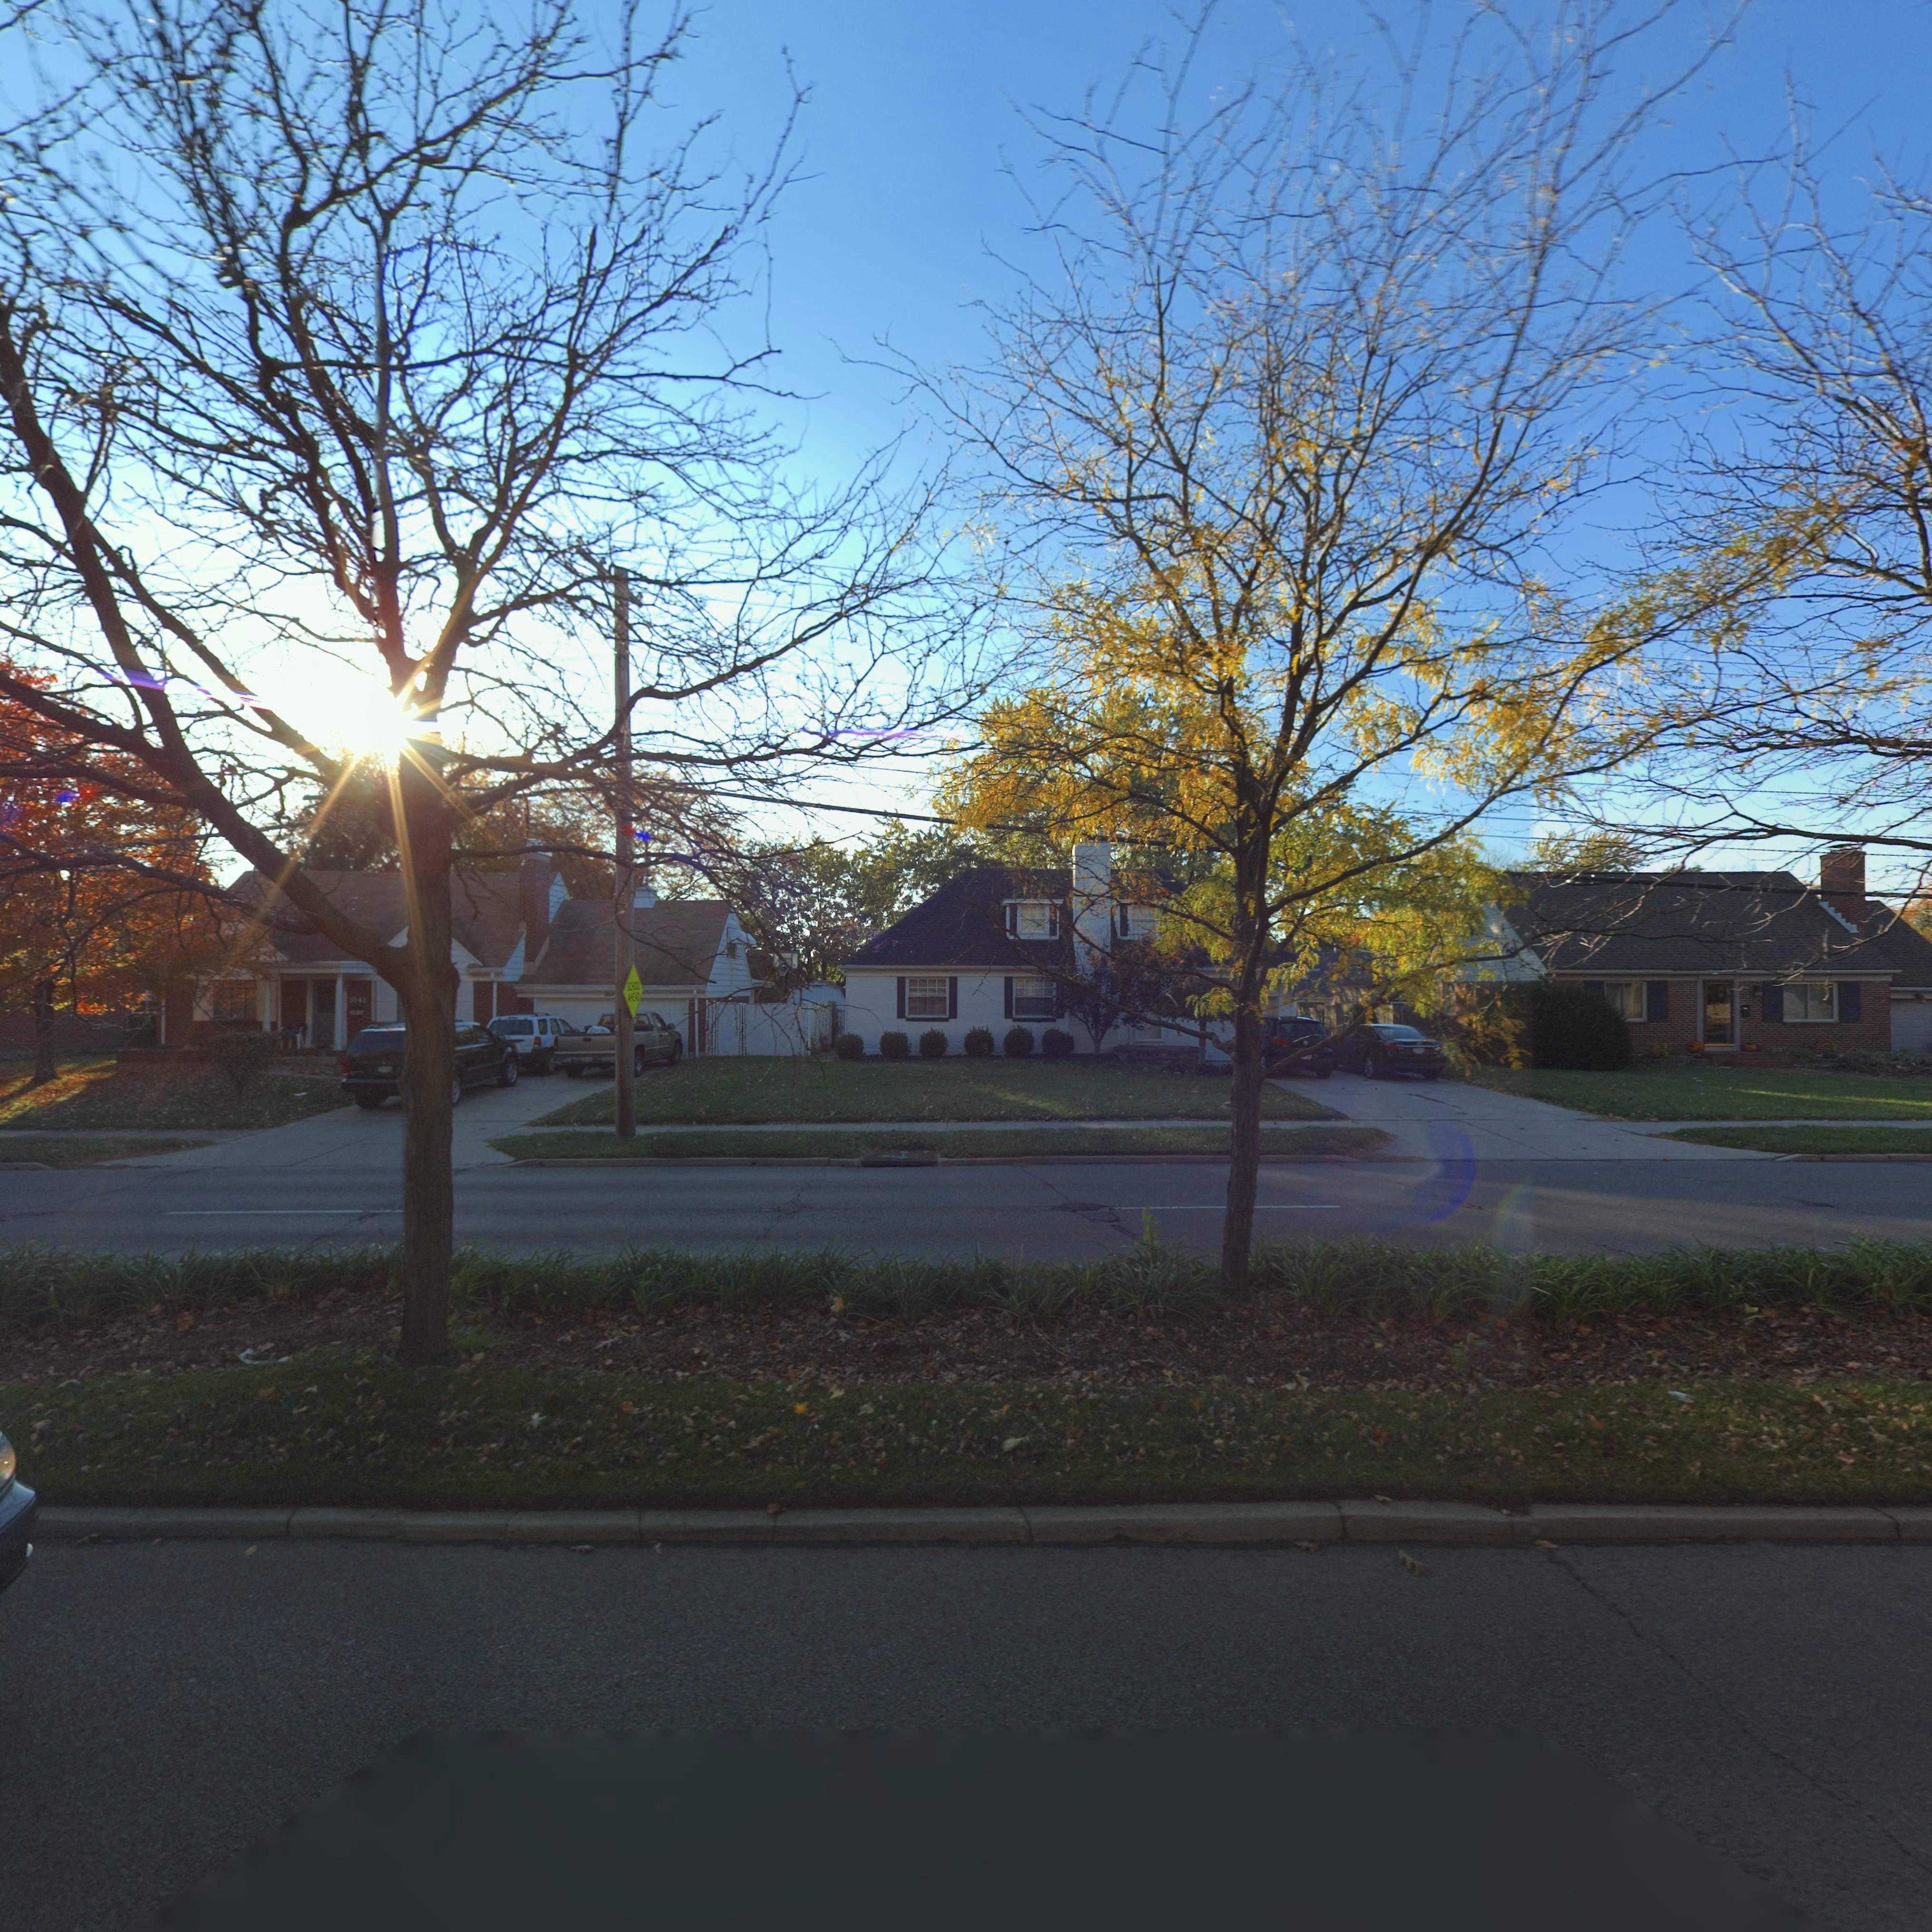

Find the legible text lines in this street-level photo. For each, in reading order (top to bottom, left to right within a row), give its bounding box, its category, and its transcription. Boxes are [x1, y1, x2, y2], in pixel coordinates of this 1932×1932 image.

[348, 995, 367, 1003] StreetNumber: 3641